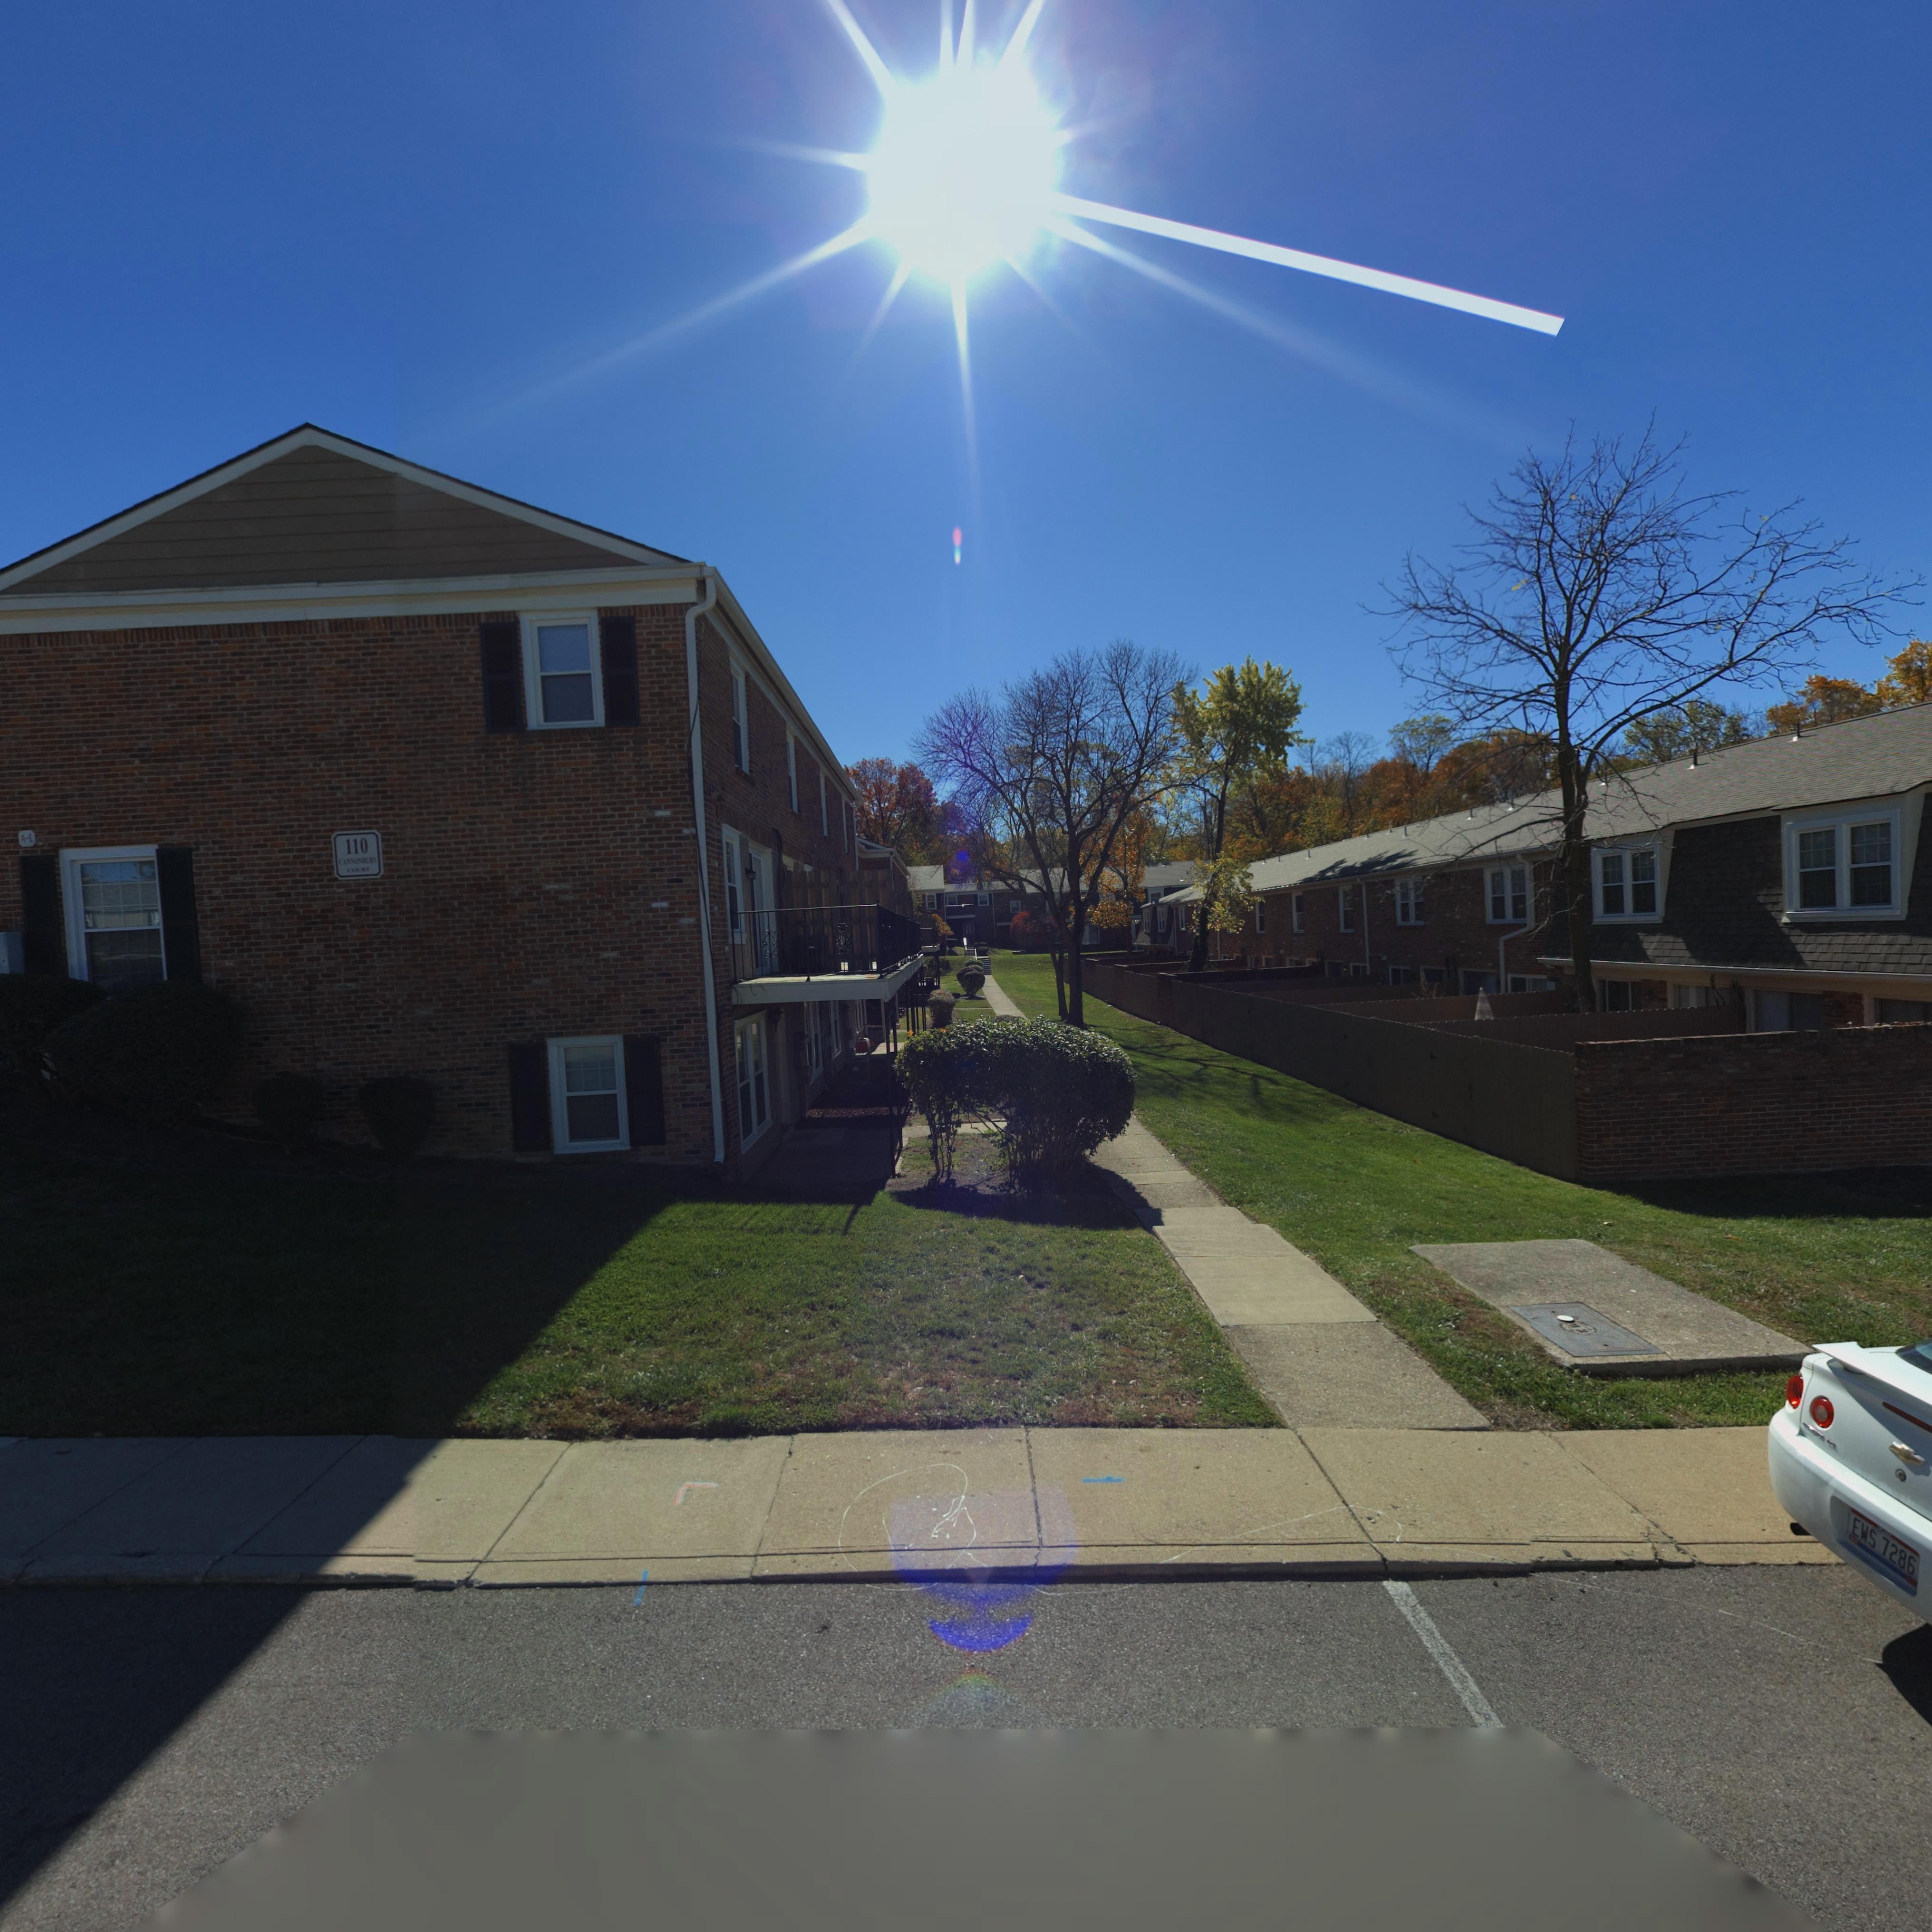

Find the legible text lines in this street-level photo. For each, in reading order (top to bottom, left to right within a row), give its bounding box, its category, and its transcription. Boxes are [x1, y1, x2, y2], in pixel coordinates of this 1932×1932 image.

[346, 837, 369, 855] StreetNumber: 110